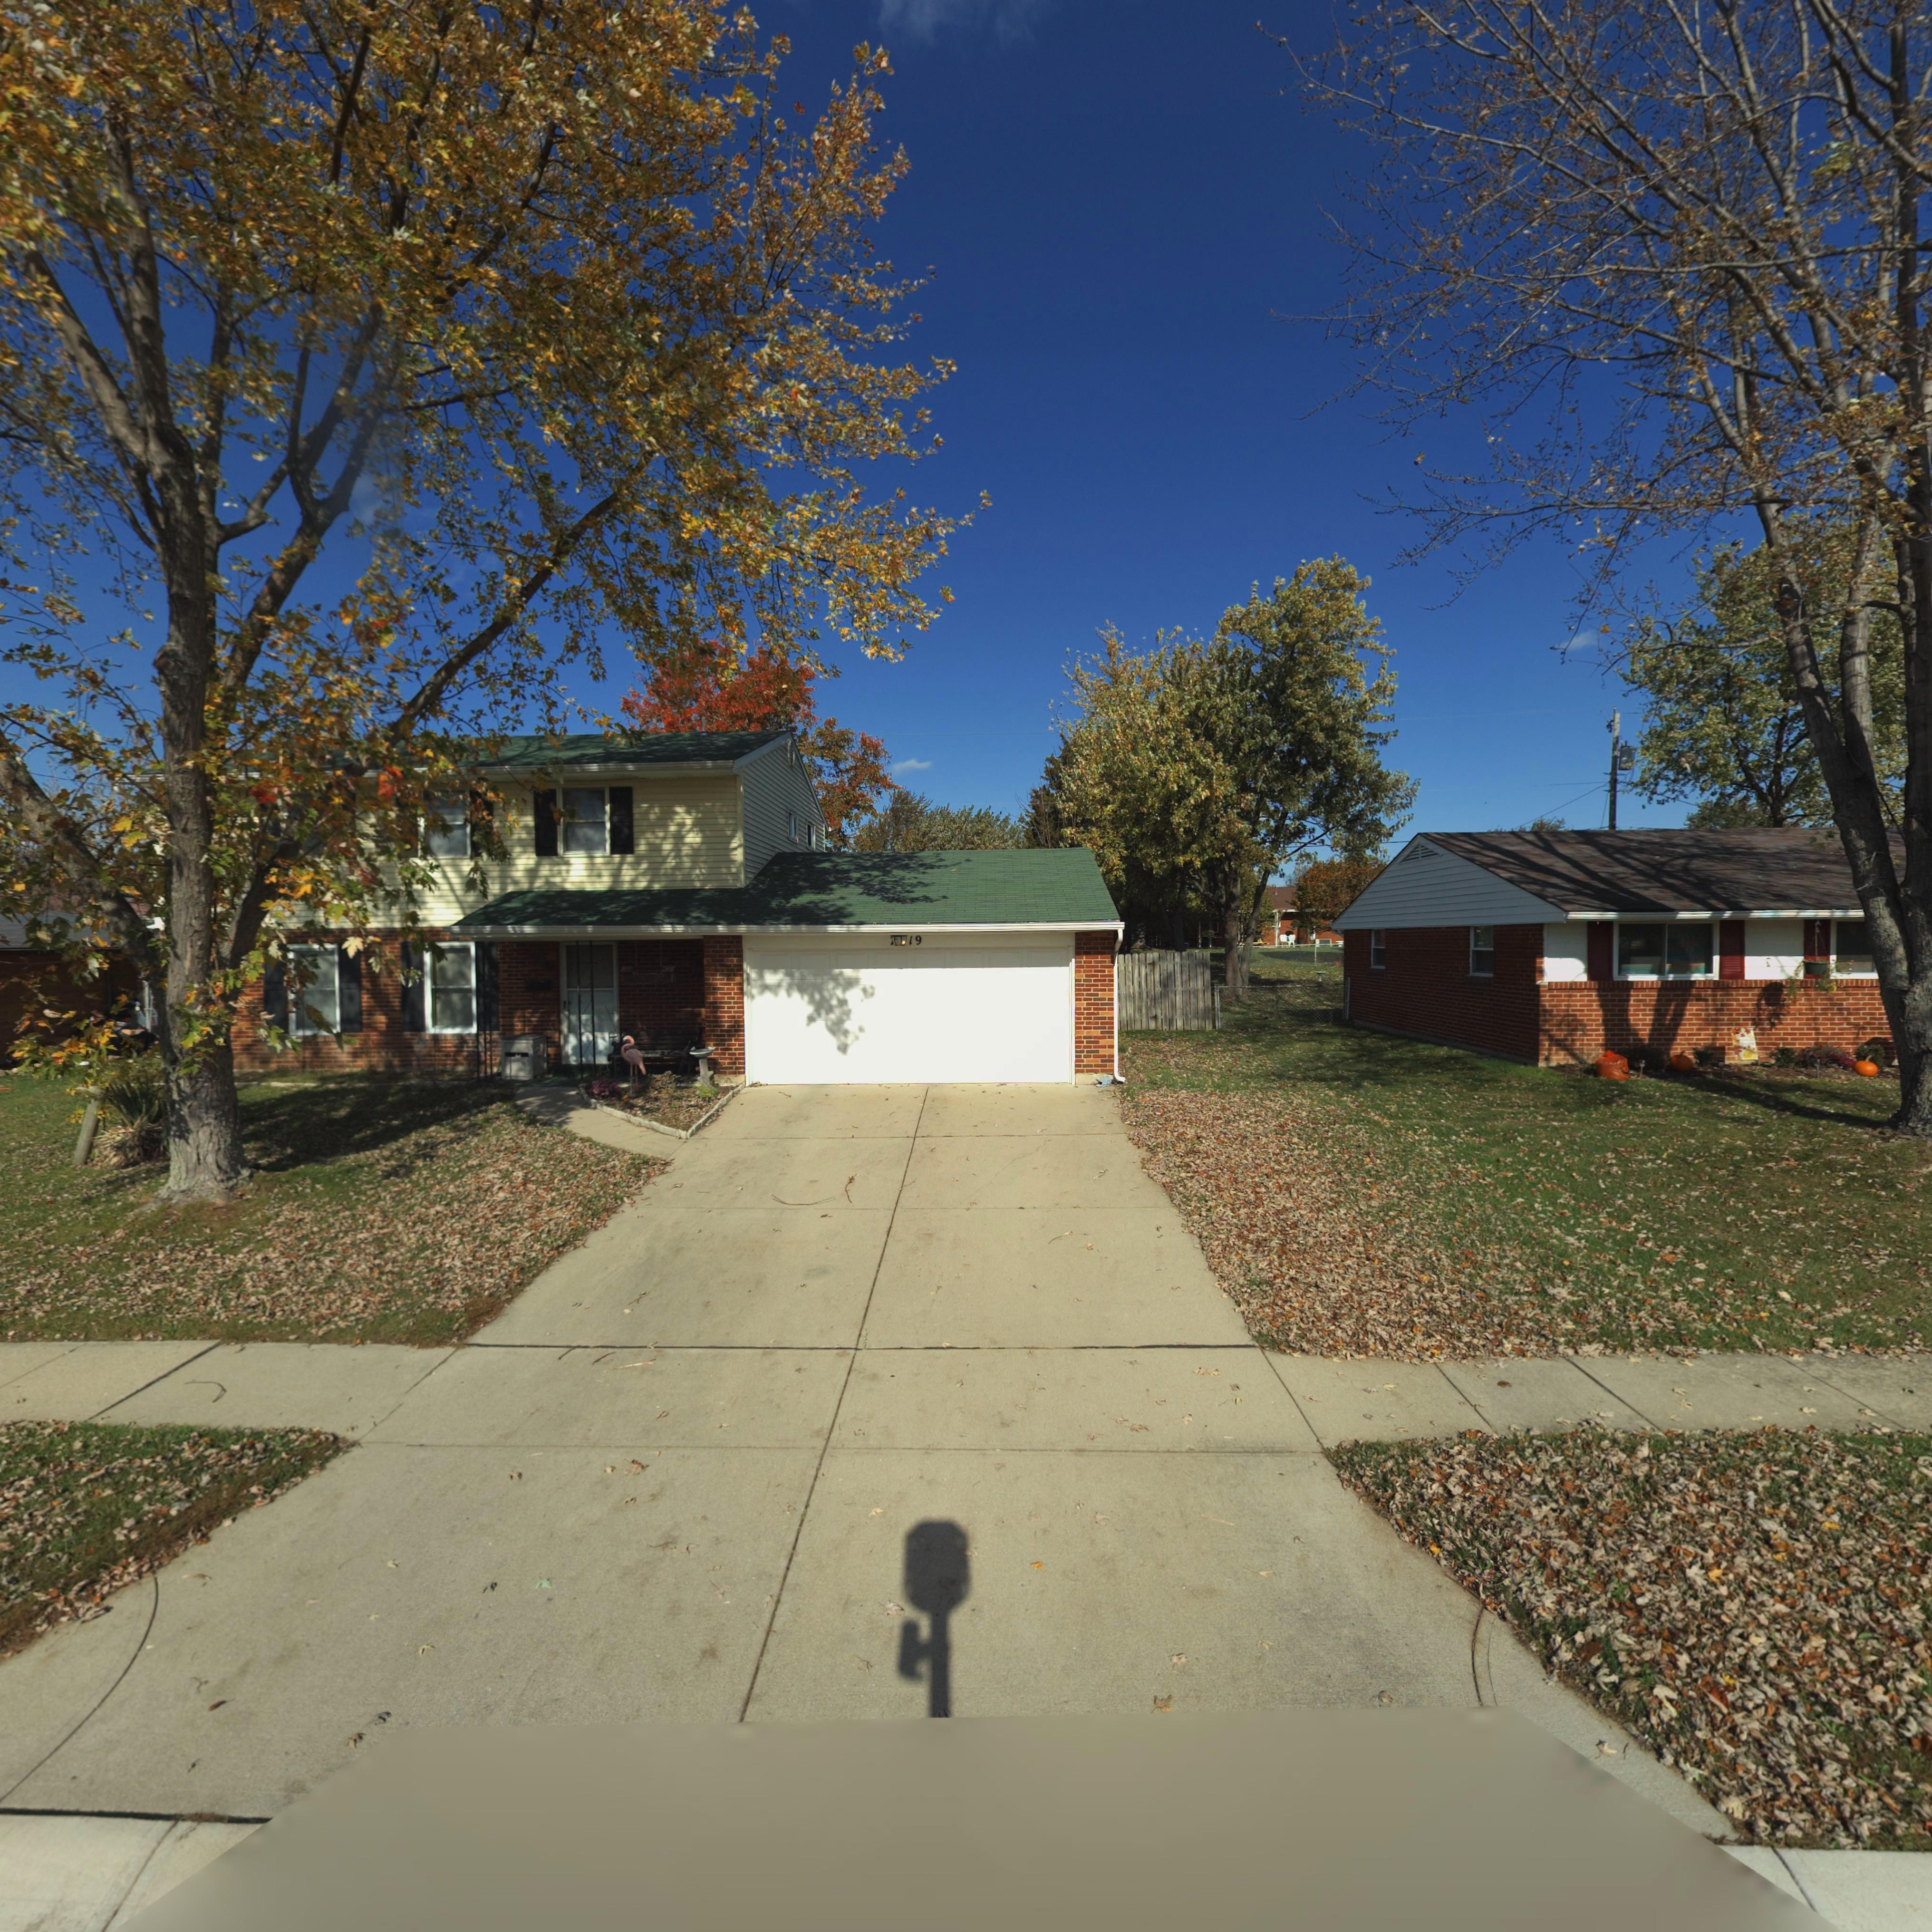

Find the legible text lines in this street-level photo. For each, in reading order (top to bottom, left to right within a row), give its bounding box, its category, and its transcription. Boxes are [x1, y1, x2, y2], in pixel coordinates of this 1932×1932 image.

[908, 934, 923, 947] StreetNumber: 19